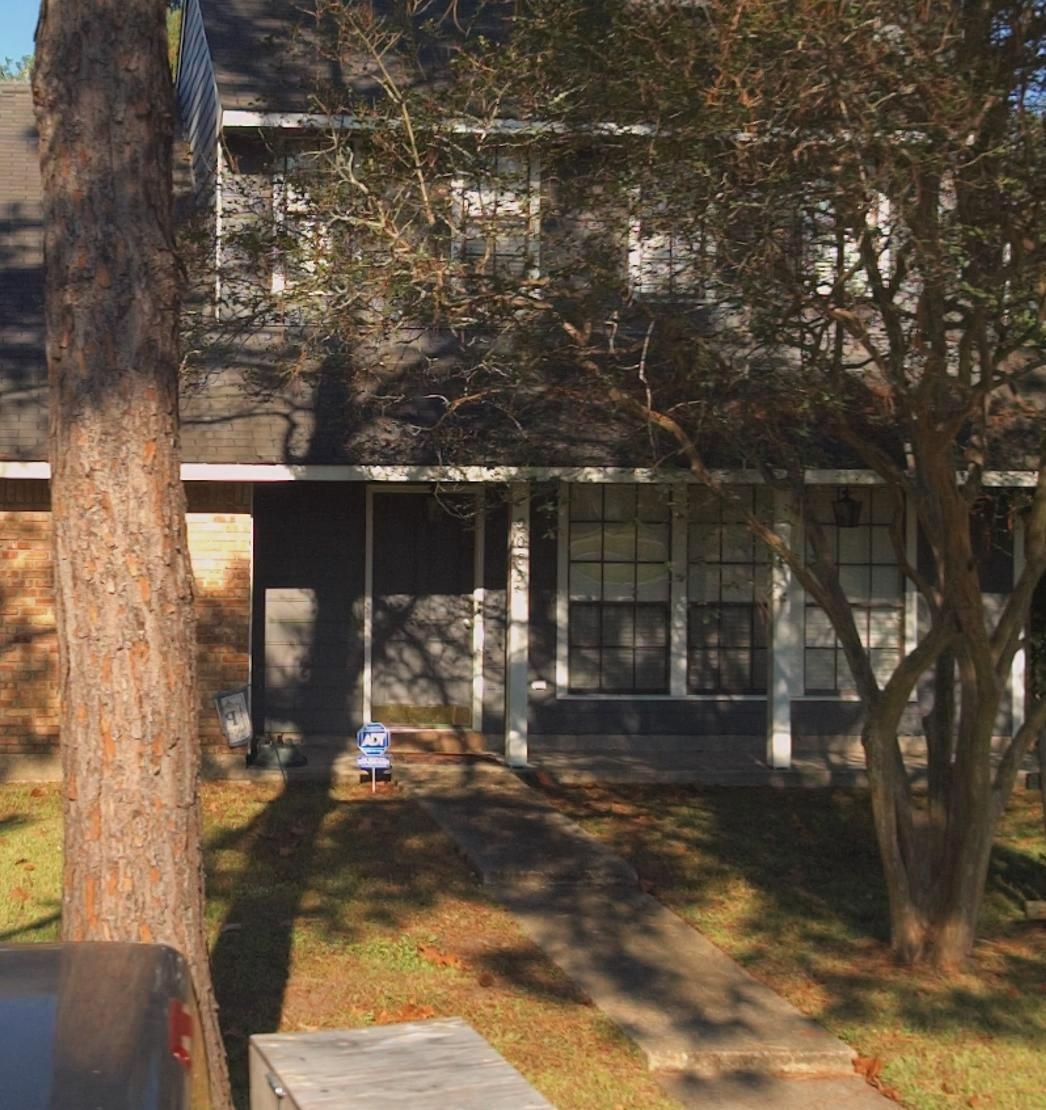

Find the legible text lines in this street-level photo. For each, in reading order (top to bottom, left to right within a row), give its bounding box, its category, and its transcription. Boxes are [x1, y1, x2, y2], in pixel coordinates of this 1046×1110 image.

[513, 518, 527, 585] StreetNumber: 2083
[362, 733, 386, 747] None: ADT